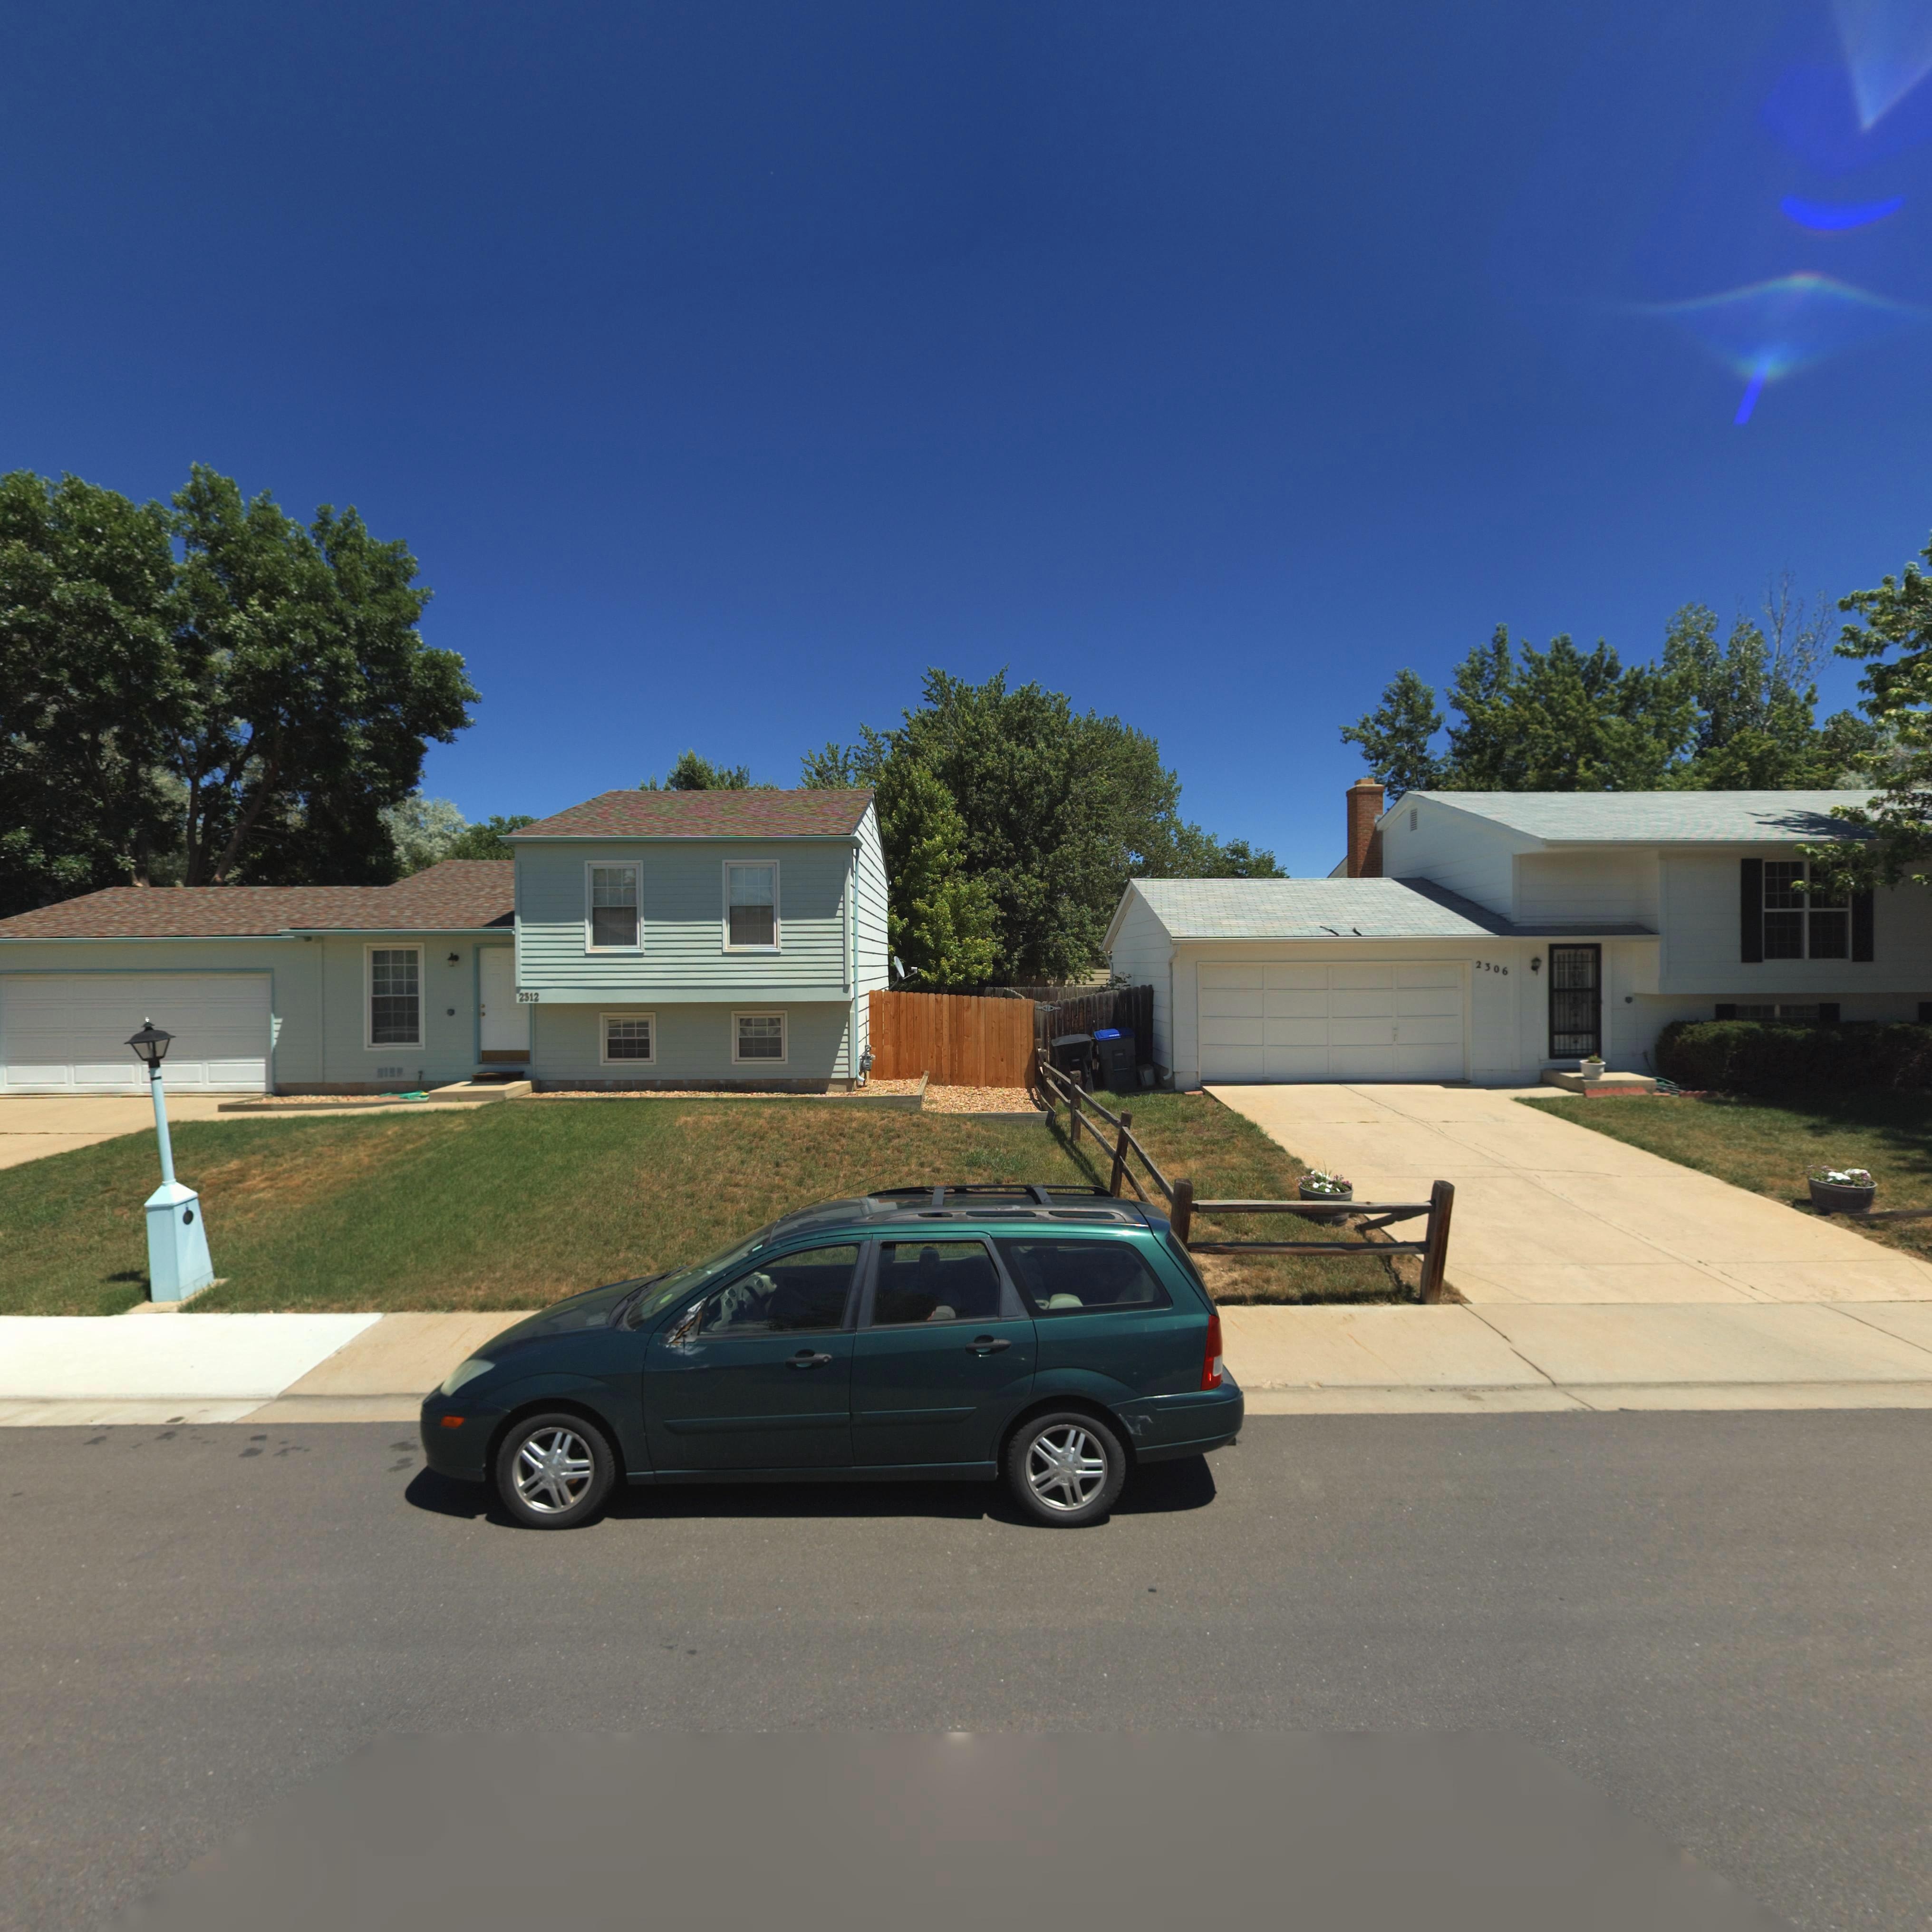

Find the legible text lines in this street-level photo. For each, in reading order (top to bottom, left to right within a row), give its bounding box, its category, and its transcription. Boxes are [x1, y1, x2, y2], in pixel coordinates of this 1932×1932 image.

[1475, 960, 1508, 976] StreetNumber: 2306
[518, 992, 540, 1003] StreetNumber: 2312